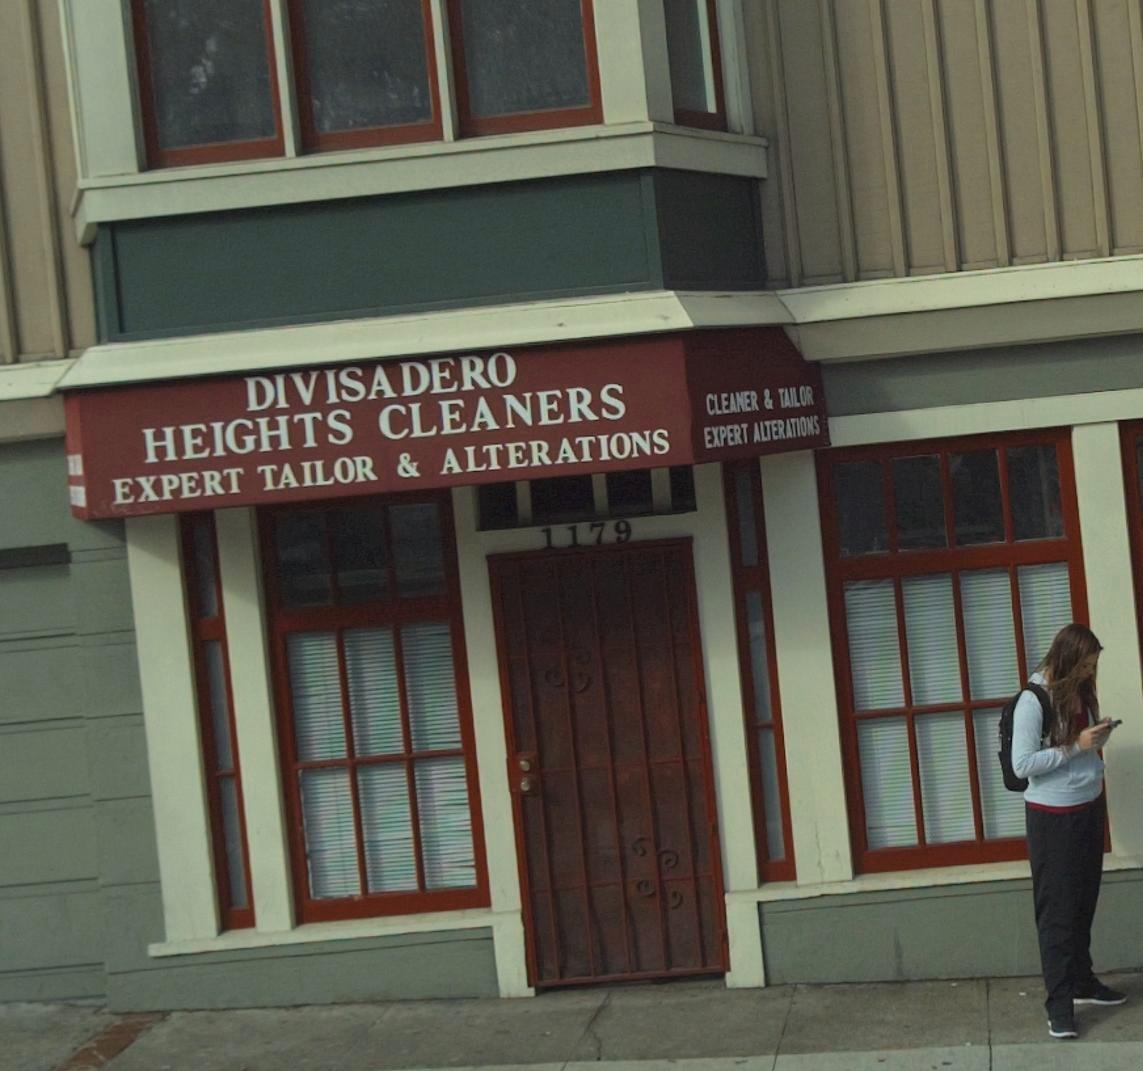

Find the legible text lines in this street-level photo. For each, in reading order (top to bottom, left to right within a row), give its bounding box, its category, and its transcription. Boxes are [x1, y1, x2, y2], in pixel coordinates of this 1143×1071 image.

[240, 348, 521, 416] BusinessName: DIVISADERO
[137, 379, 631, 468] BusinessName: HEIGHTS CLEANERS
[703, 382, 816, 419] None: CLEANER & TAILOR
[701, 413, 823, 452] None: EXPERT ALTERATIONS
[108, 425, 673, 509] None: EXPERT TAILOR & ALTERATIONS
[539, 518, 634, 553] StreetNumber: 1179